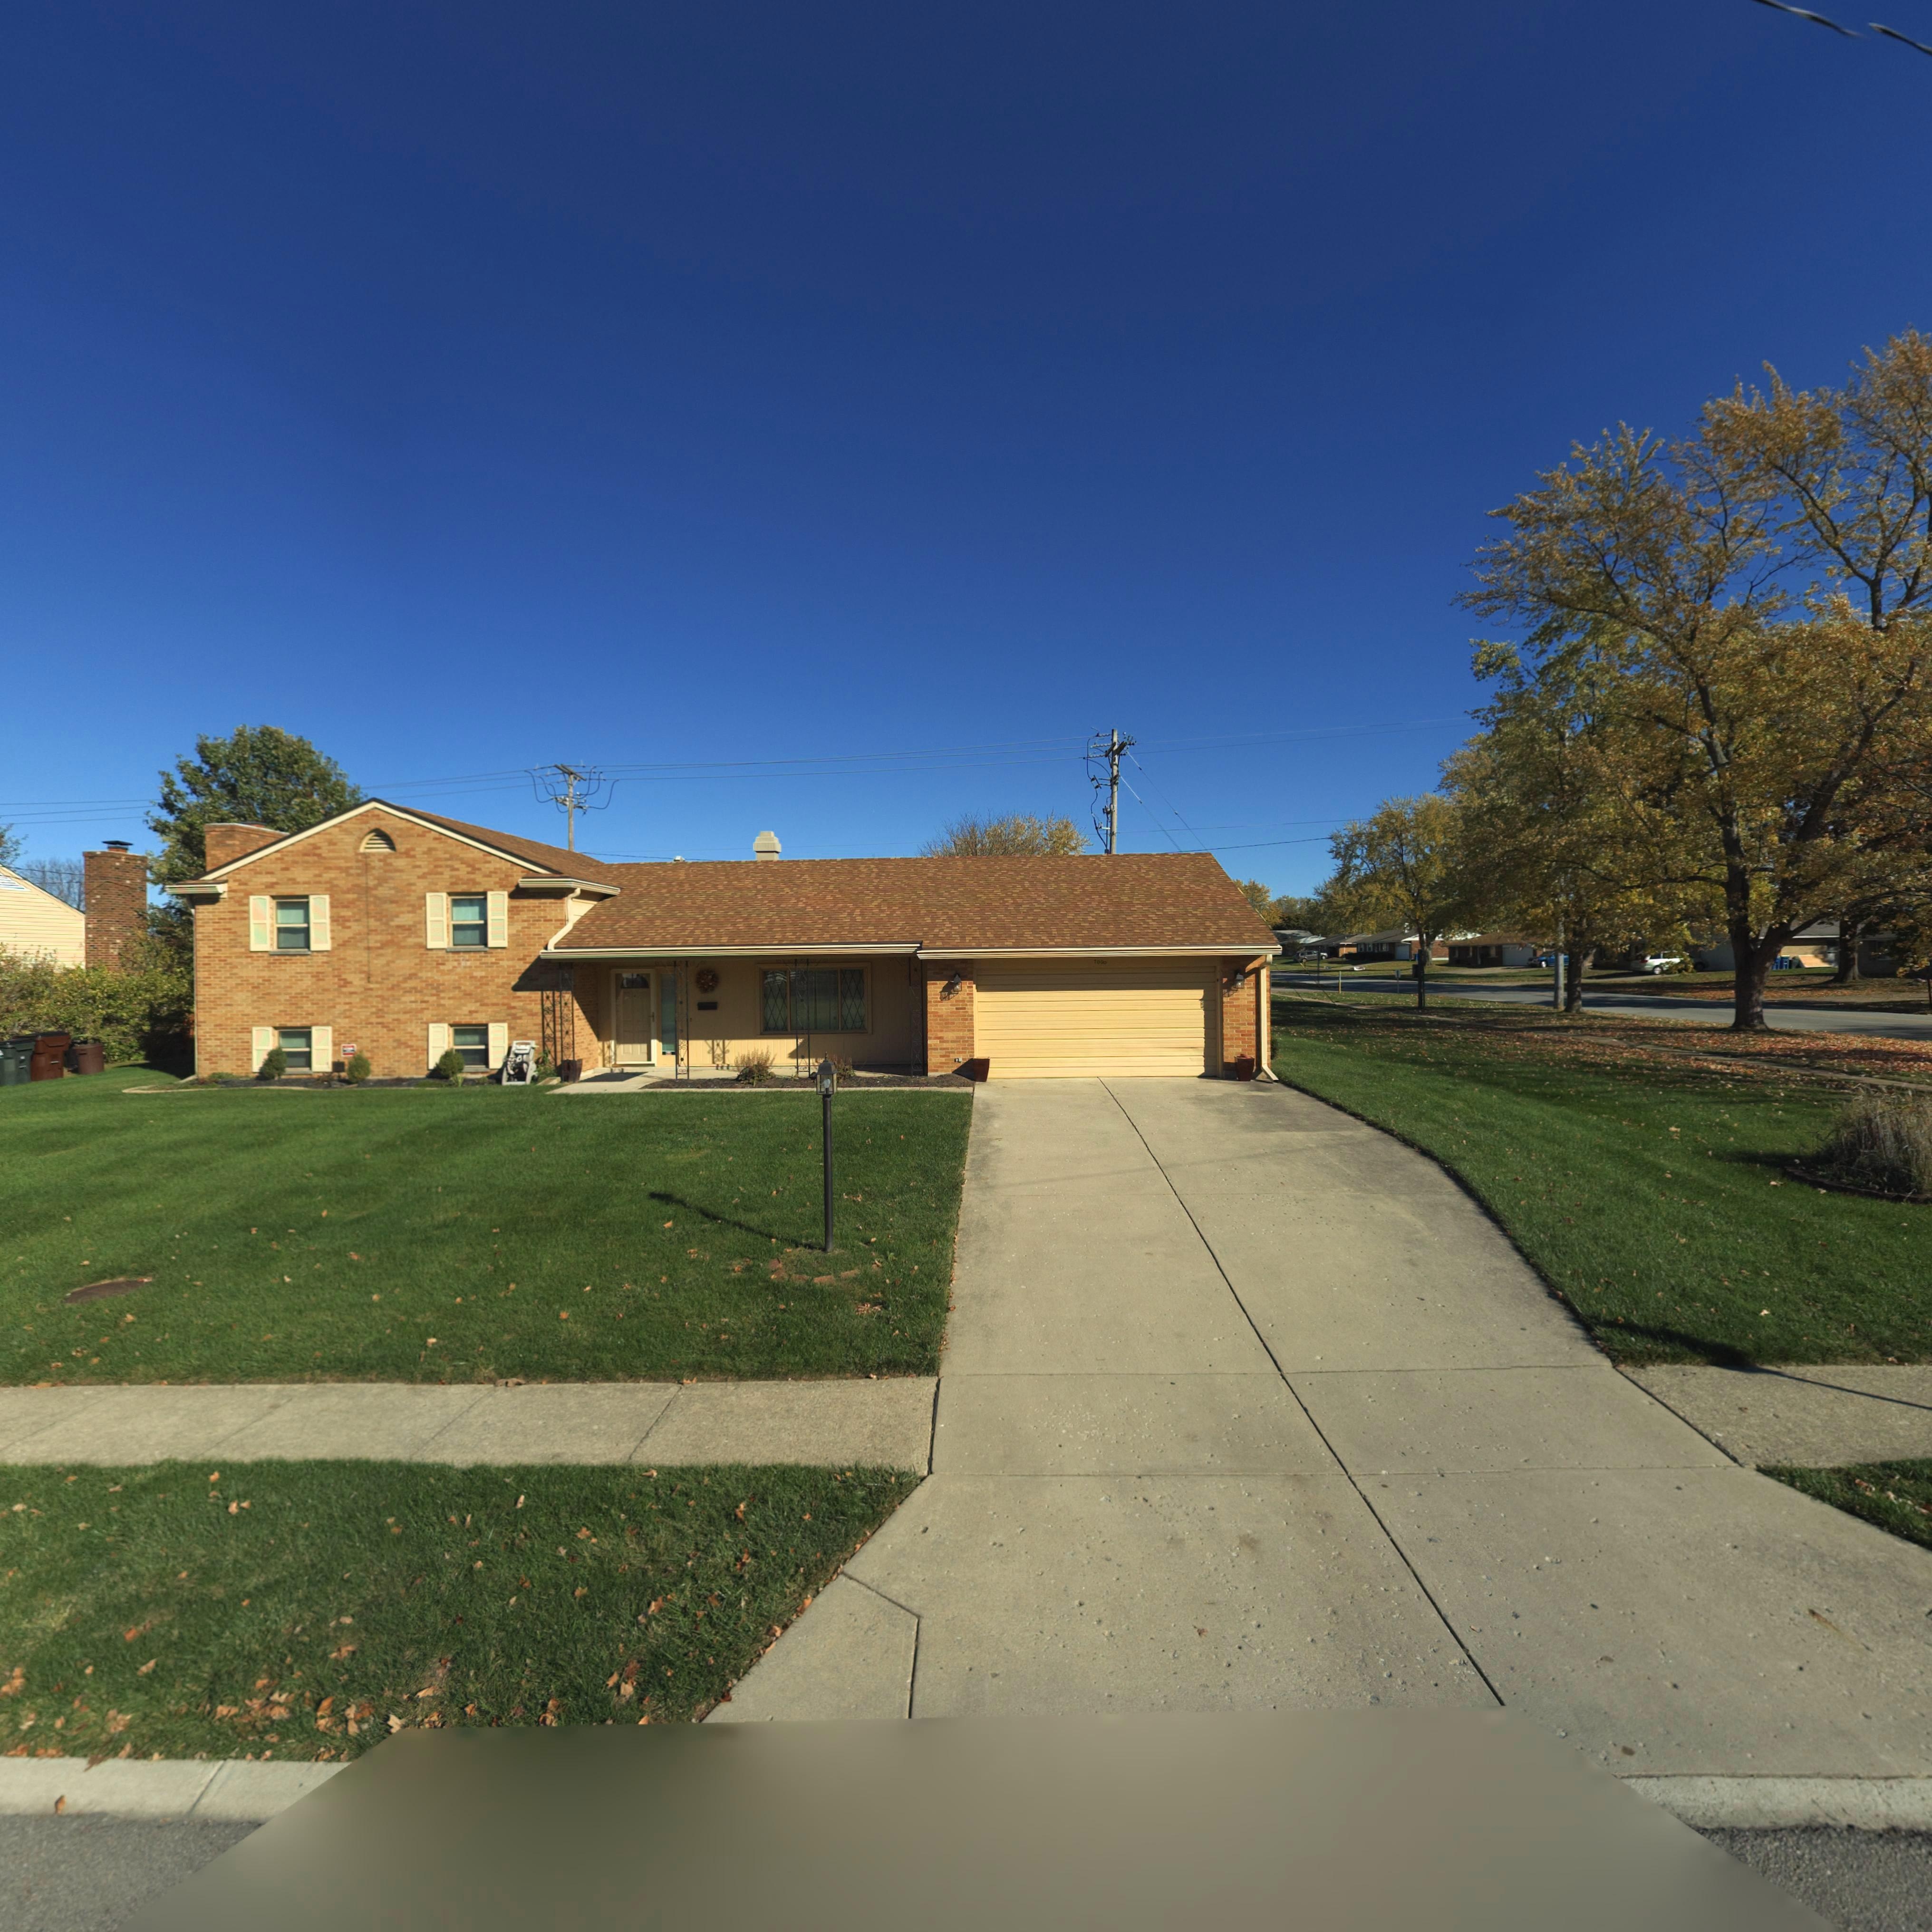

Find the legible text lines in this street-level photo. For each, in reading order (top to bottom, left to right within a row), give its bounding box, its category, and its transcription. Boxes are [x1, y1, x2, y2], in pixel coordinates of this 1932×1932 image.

[1093, 959, 1107, 965] StreetNumber: 7000